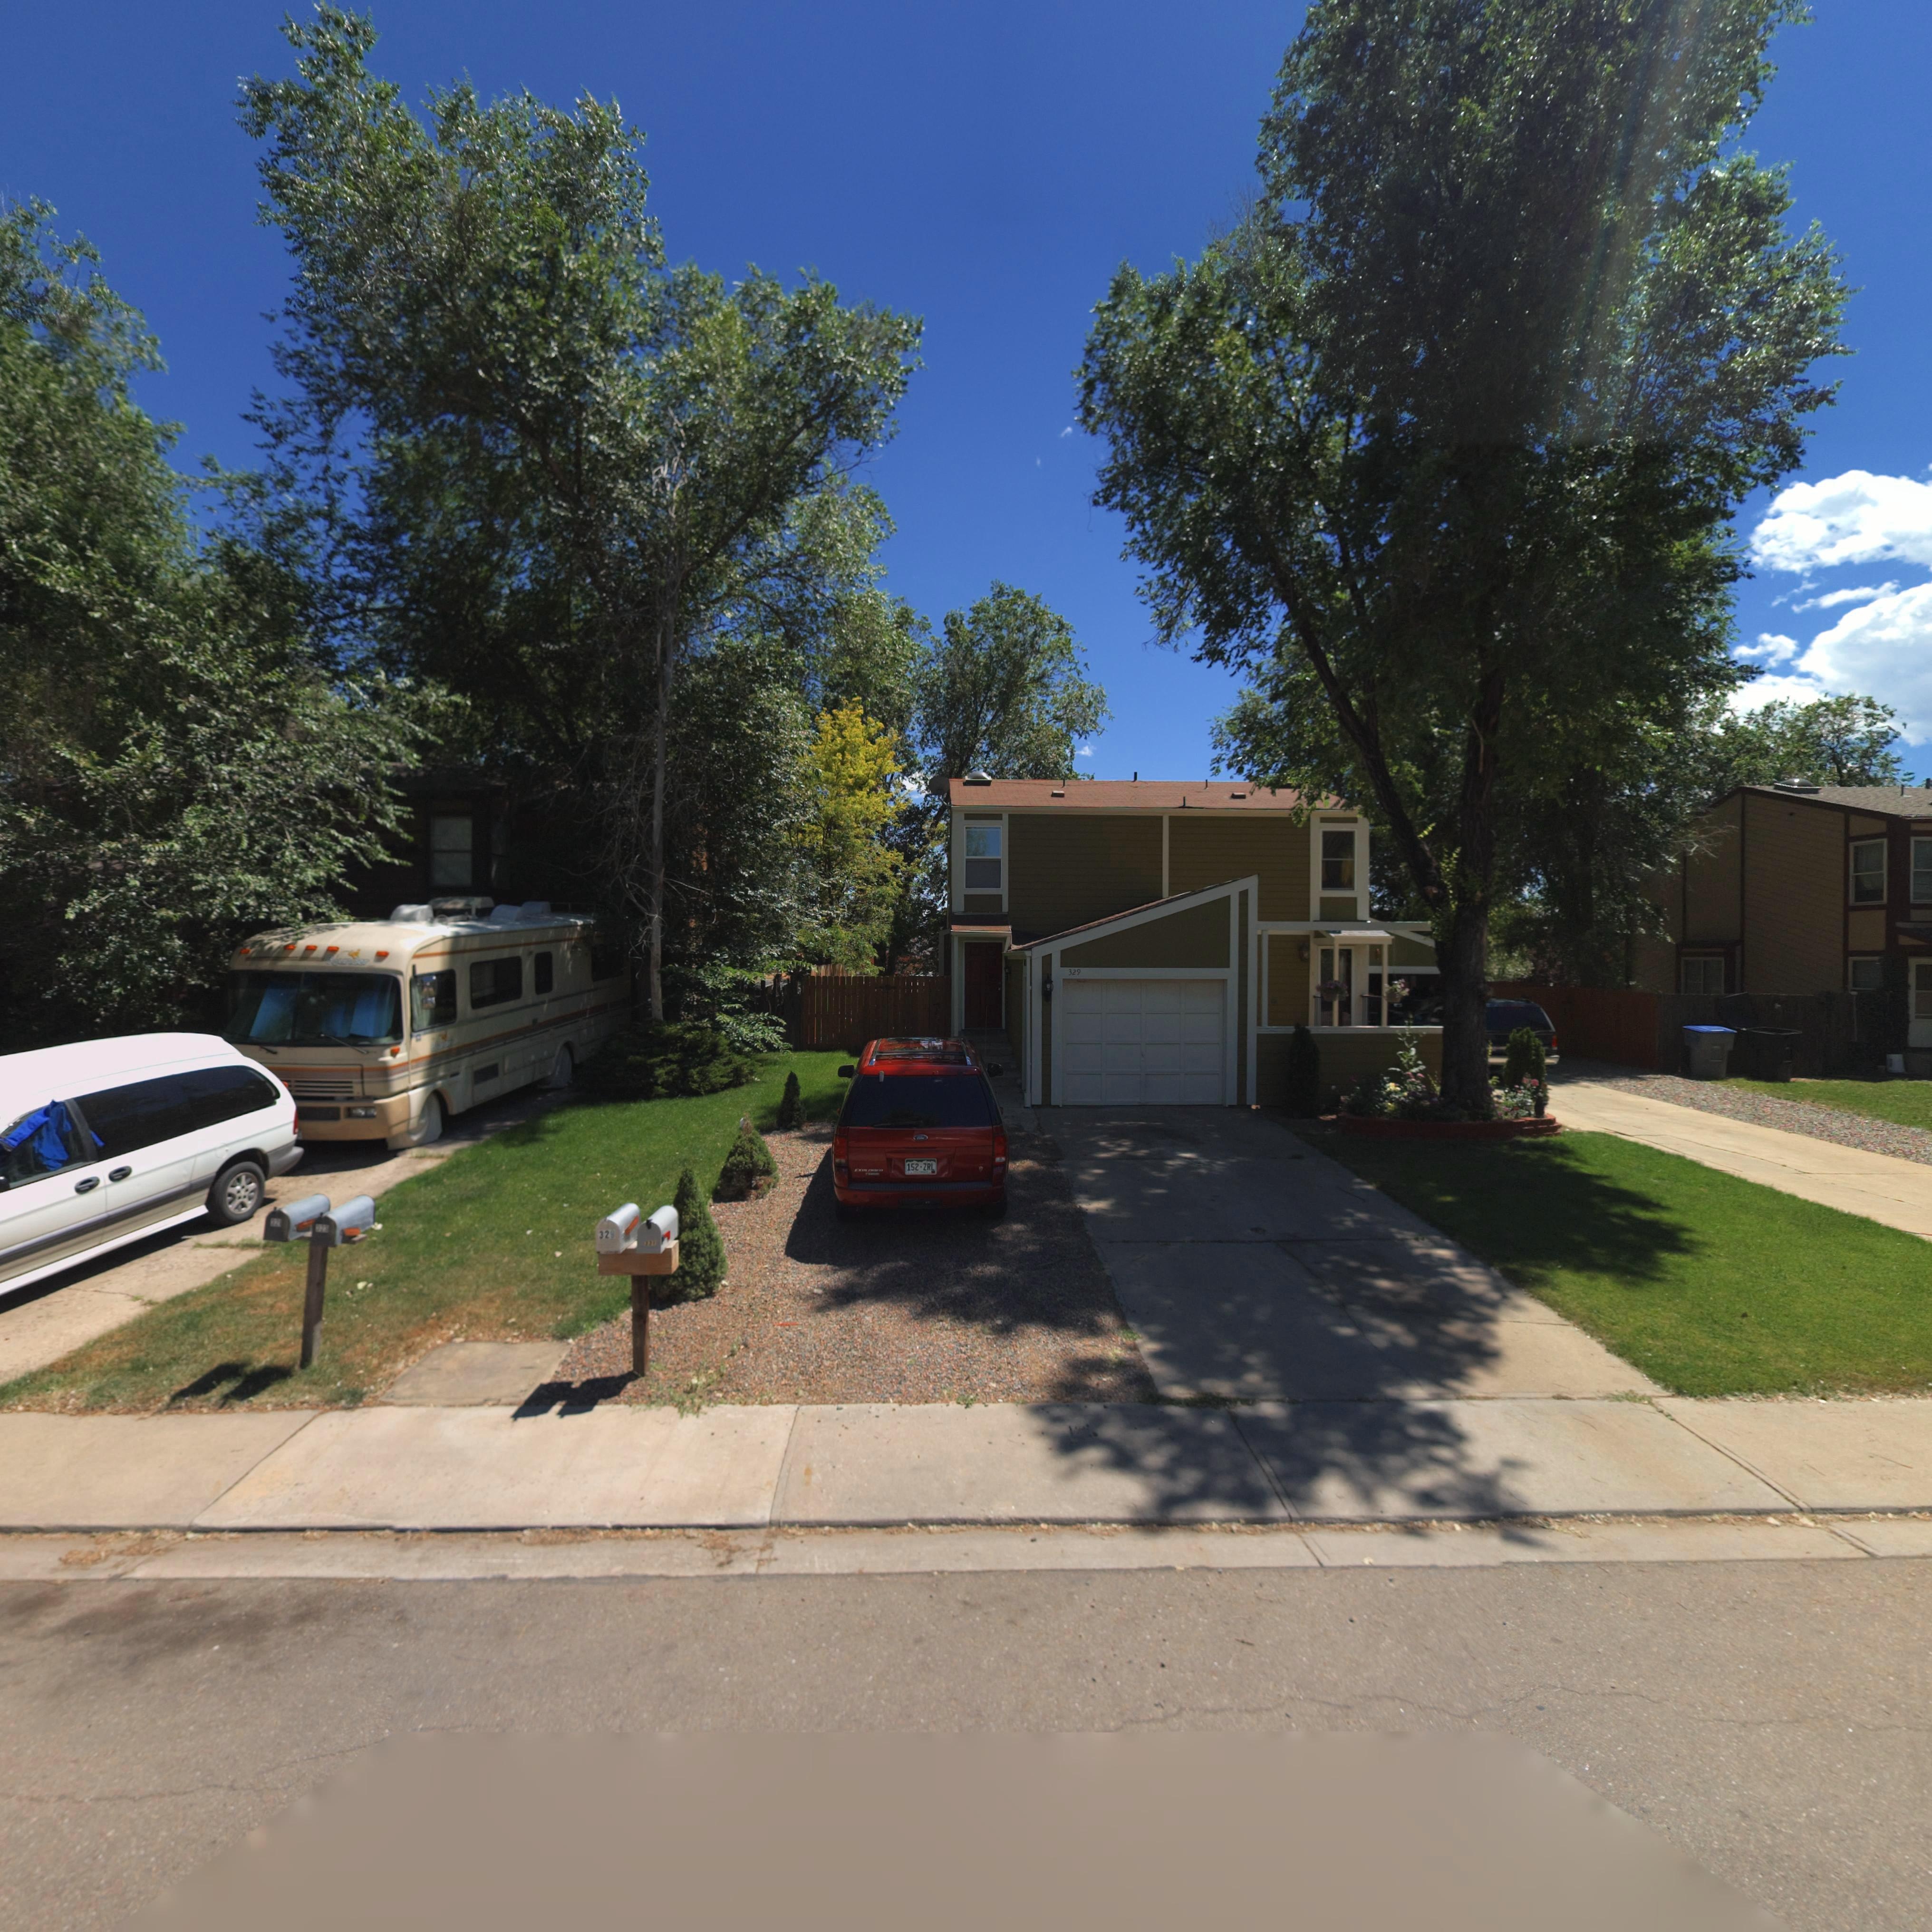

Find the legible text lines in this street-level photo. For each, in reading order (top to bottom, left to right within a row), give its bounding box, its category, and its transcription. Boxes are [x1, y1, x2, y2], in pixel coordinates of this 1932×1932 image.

[1068, 968, 1081, 976] StreetNumber: 329
[599, 1228, 616, 1239] StreetNumber: 329
[645, 1239, 656, 1246] StreetNumber: 3**